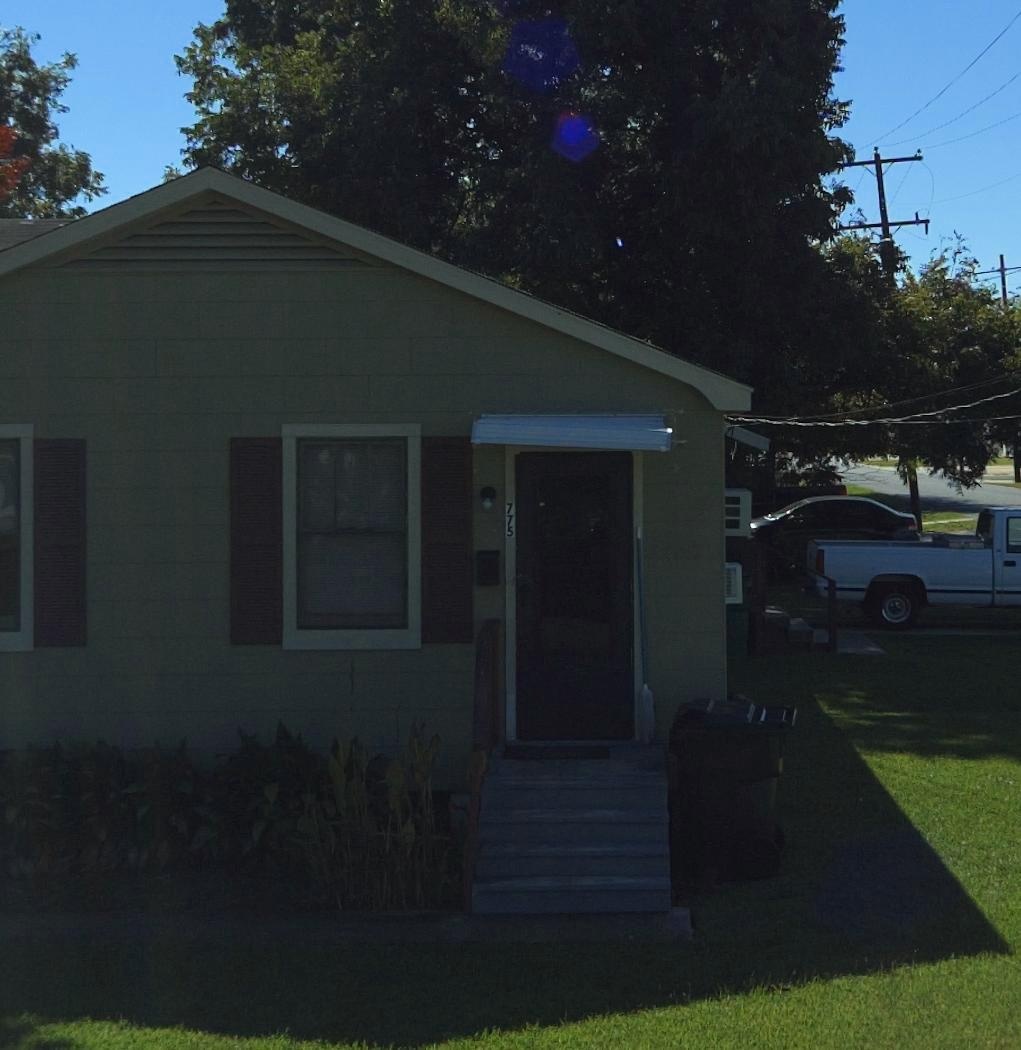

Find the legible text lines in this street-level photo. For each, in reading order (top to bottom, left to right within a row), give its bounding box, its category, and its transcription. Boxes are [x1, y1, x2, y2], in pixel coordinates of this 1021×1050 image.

[506, 501, 515, 538] StreetNumber: 775